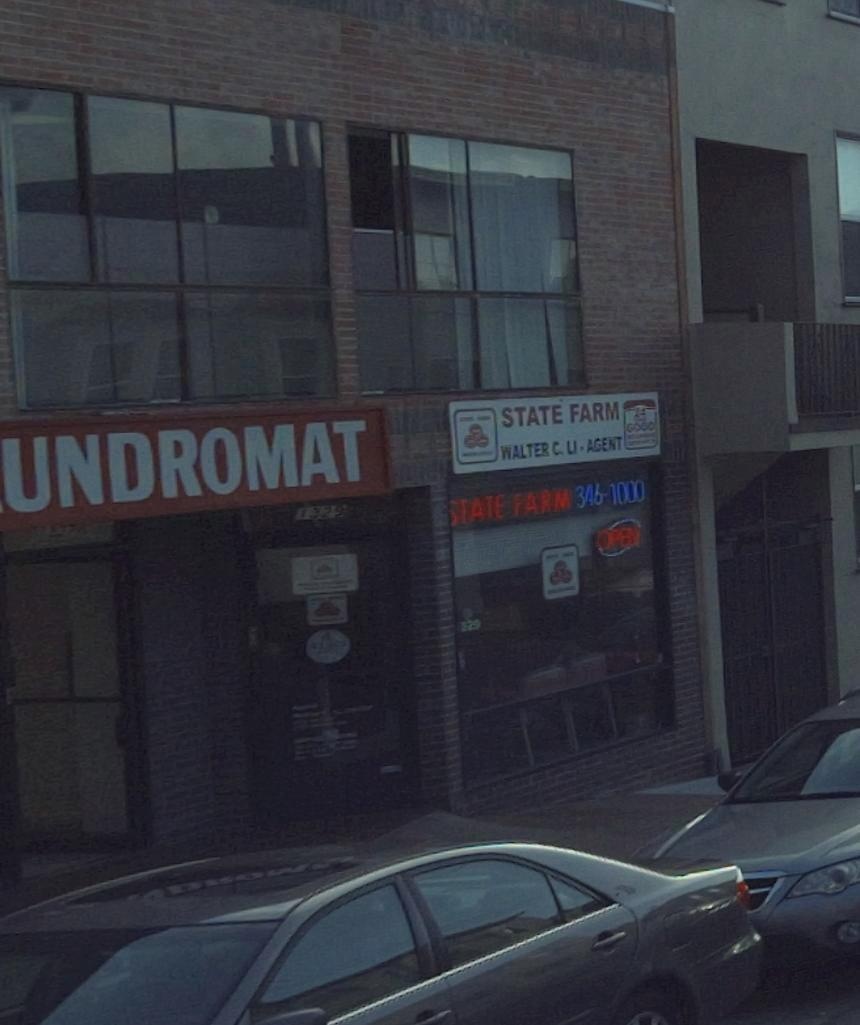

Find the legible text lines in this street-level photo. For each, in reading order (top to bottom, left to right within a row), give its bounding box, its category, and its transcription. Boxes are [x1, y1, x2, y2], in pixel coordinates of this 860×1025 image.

[498, 397, 623, 431] BusinessName: STATE FARM
[0, 416, 369, 517] BusinessName: UNDROMAT
[493, 433, 625, 466] None: WALTER C. LI * AGENT
[296, 502, 348, 522] StreetNumber: 1329
[454, 485, 574, 530] BusinessName: TATE FARM
[573, 476, 648, 512] None: 346-1000
[594, 523, 642, 553] None: OPEN